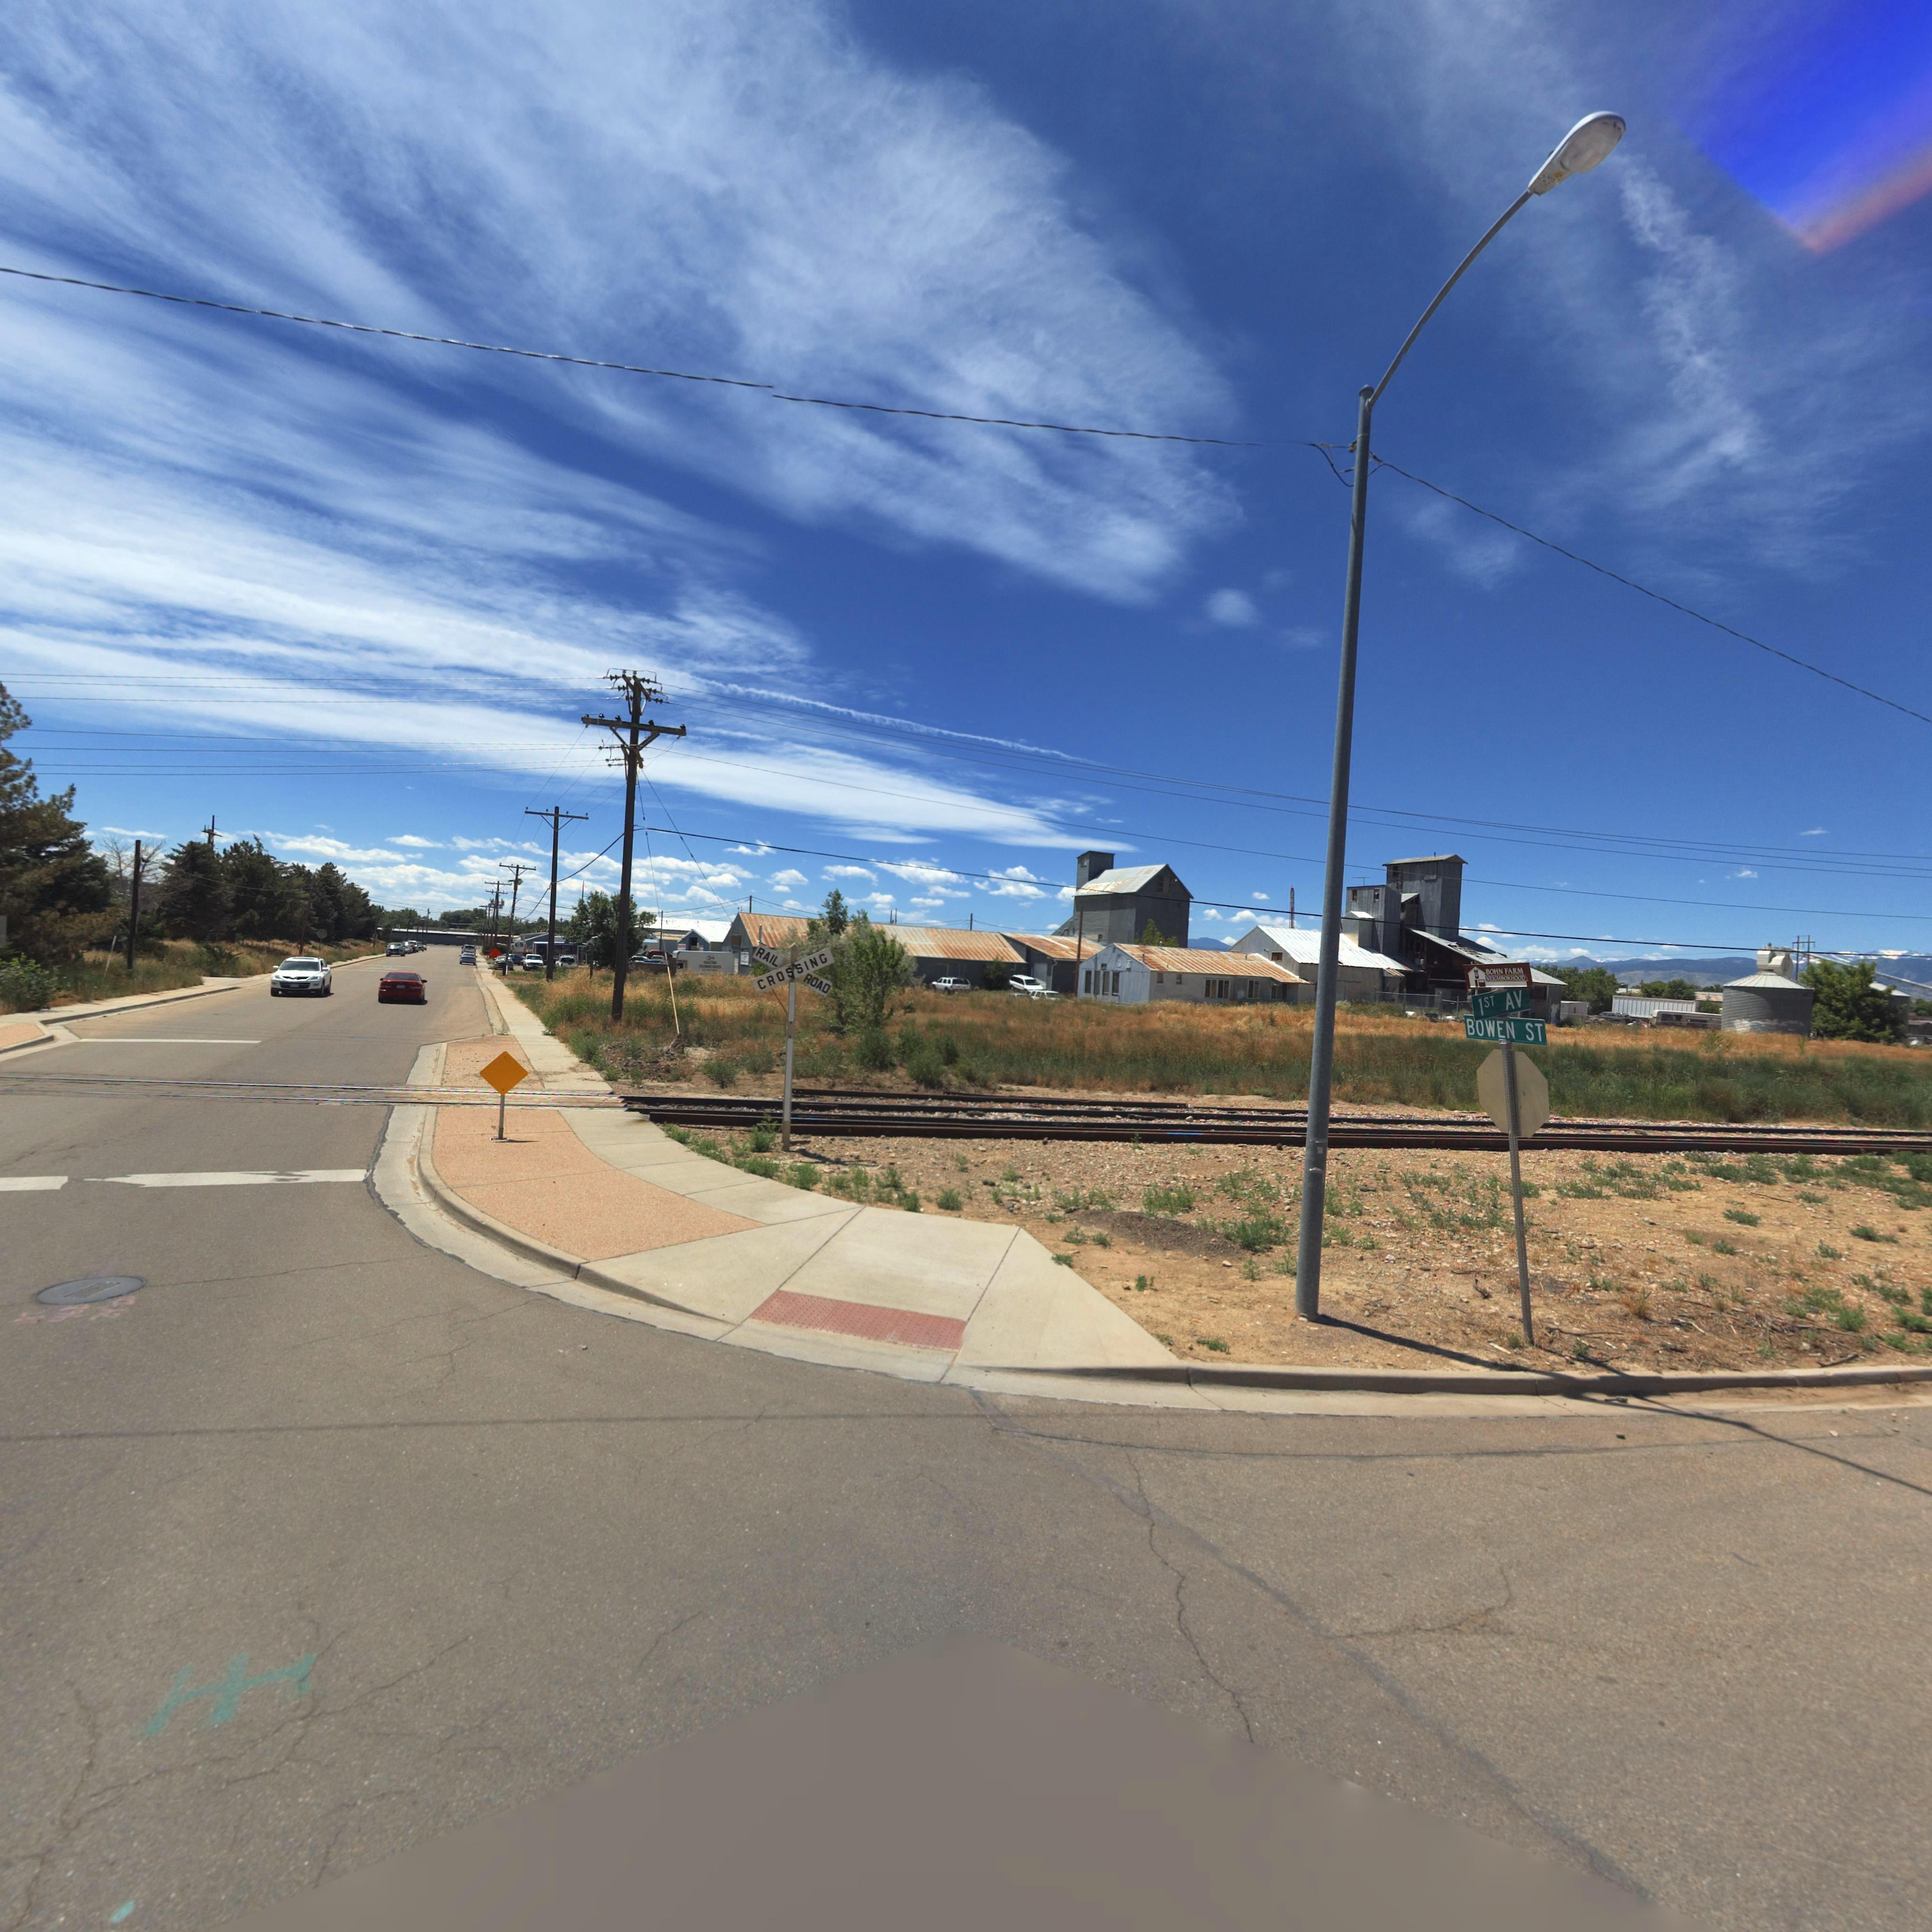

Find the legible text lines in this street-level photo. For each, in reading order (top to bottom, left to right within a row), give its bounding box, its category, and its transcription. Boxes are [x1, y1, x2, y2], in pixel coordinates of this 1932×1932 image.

[1478, 989, 1522, 1016] StreetName: 1ST AV
[1466, 1018, 1543, 1042] StreetName: BOWEN ST